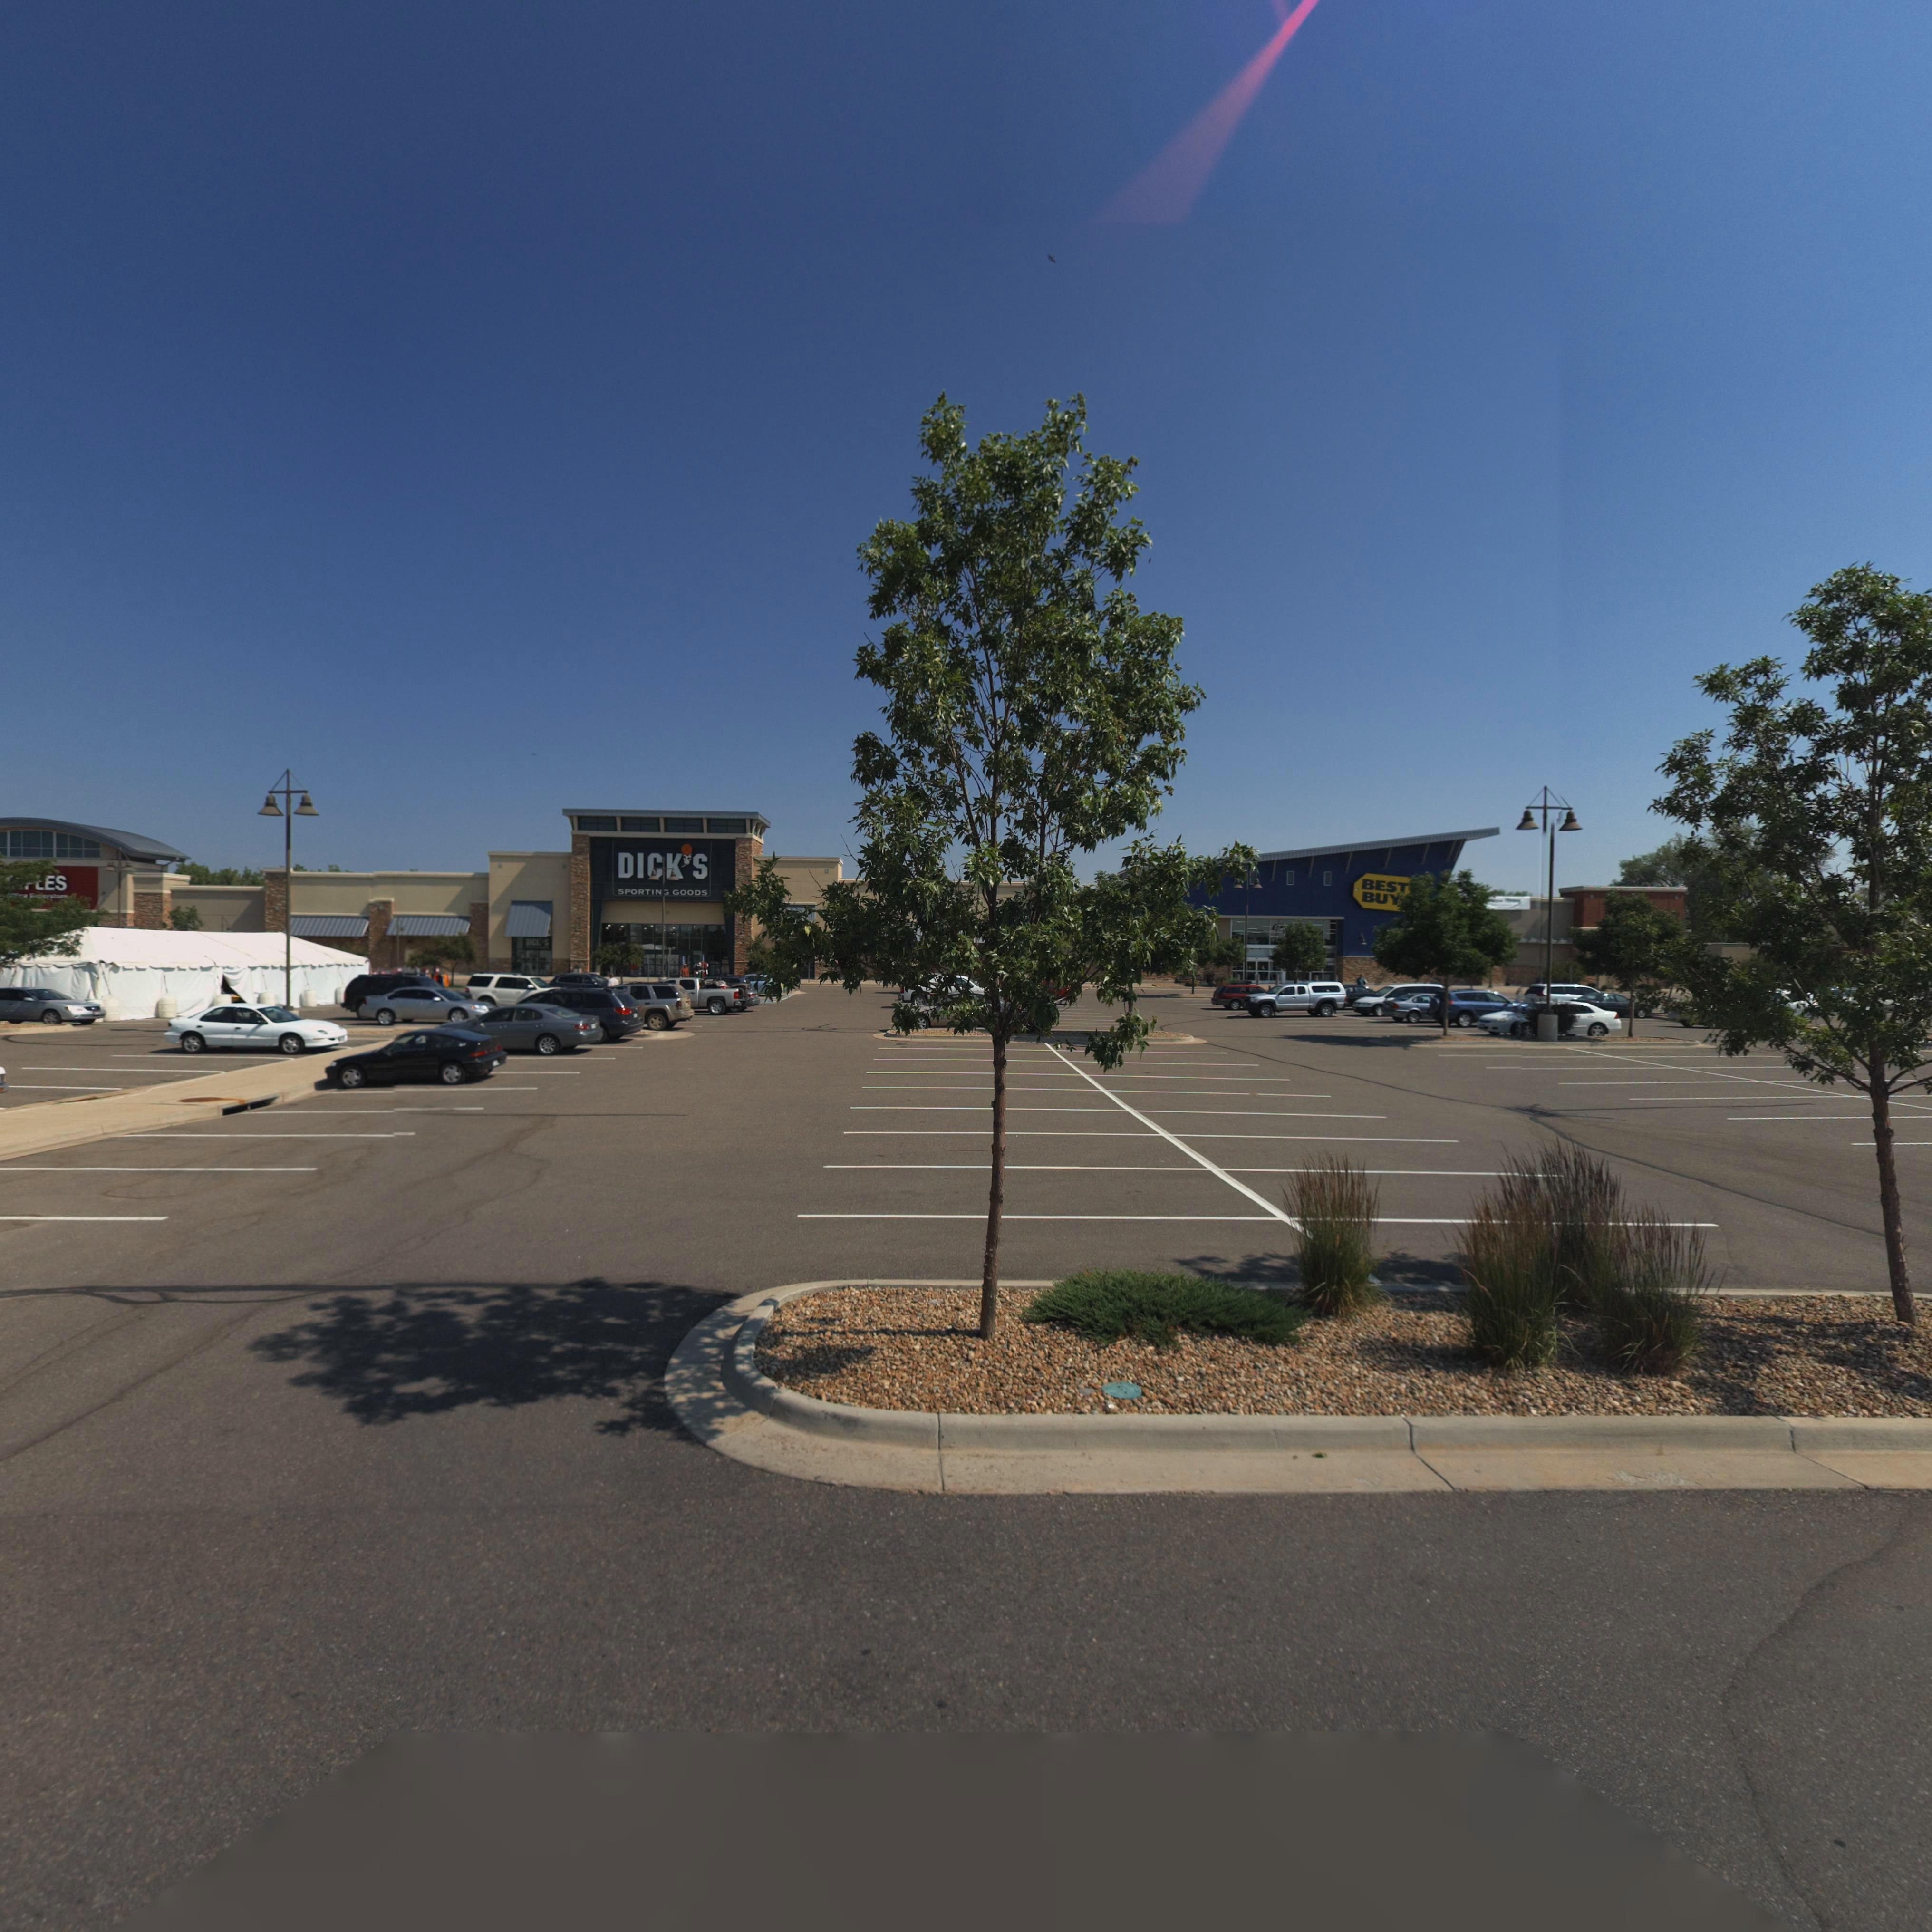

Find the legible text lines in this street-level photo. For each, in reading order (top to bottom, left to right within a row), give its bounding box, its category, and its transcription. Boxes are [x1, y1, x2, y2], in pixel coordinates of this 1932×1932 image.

[618, 852, 708, 879] BusinessName: DICK*S
[36, 874, 67, 891] None: *ES
[1361, 878, 1409, 893] BusinessName: BEST
[1362, 891, 1404, 905] BusinessName: BUY